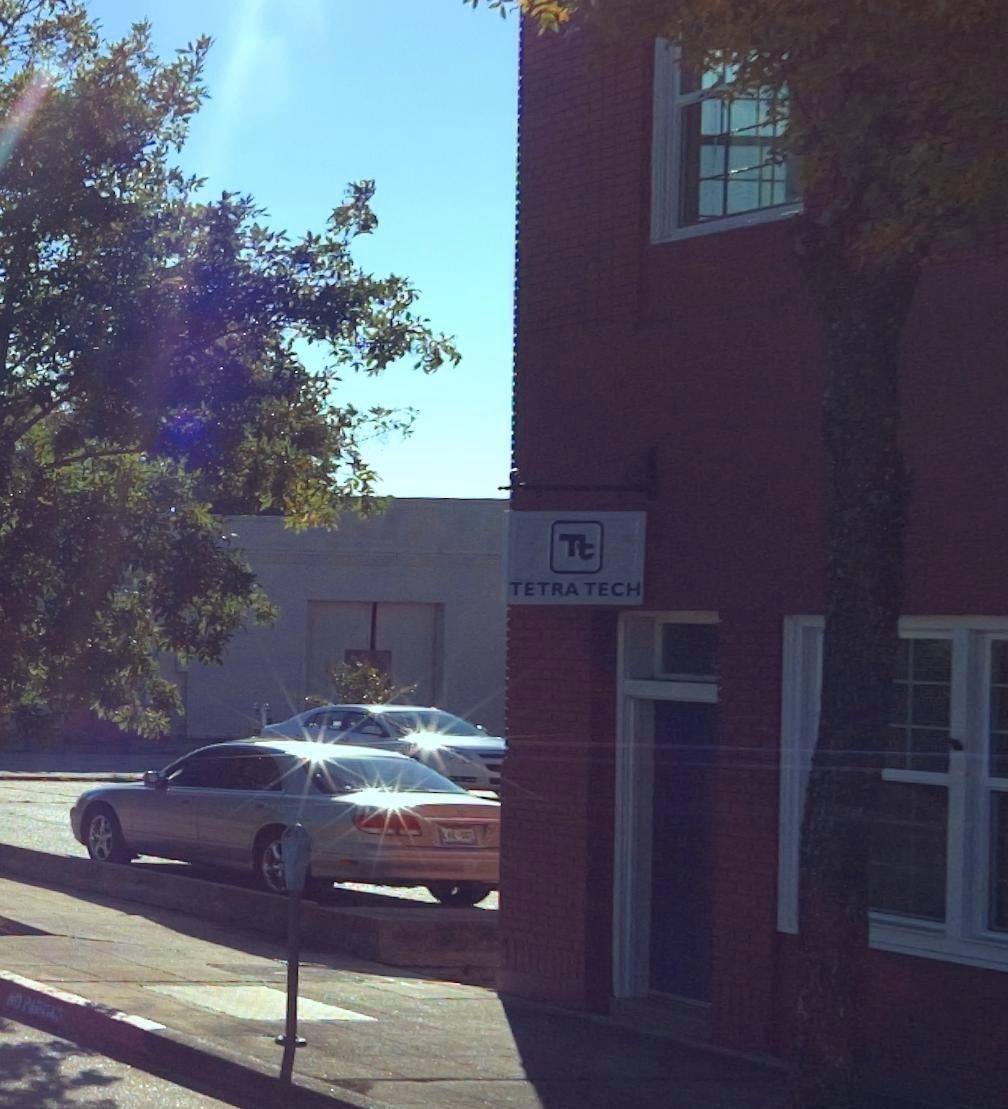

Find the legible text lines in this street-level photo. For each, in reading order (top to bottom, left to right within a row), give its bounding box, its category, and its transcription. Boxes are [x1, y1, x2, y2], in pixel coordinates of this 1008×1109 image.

[506, 578, 645, 601] BusinessName: TETRA TECH